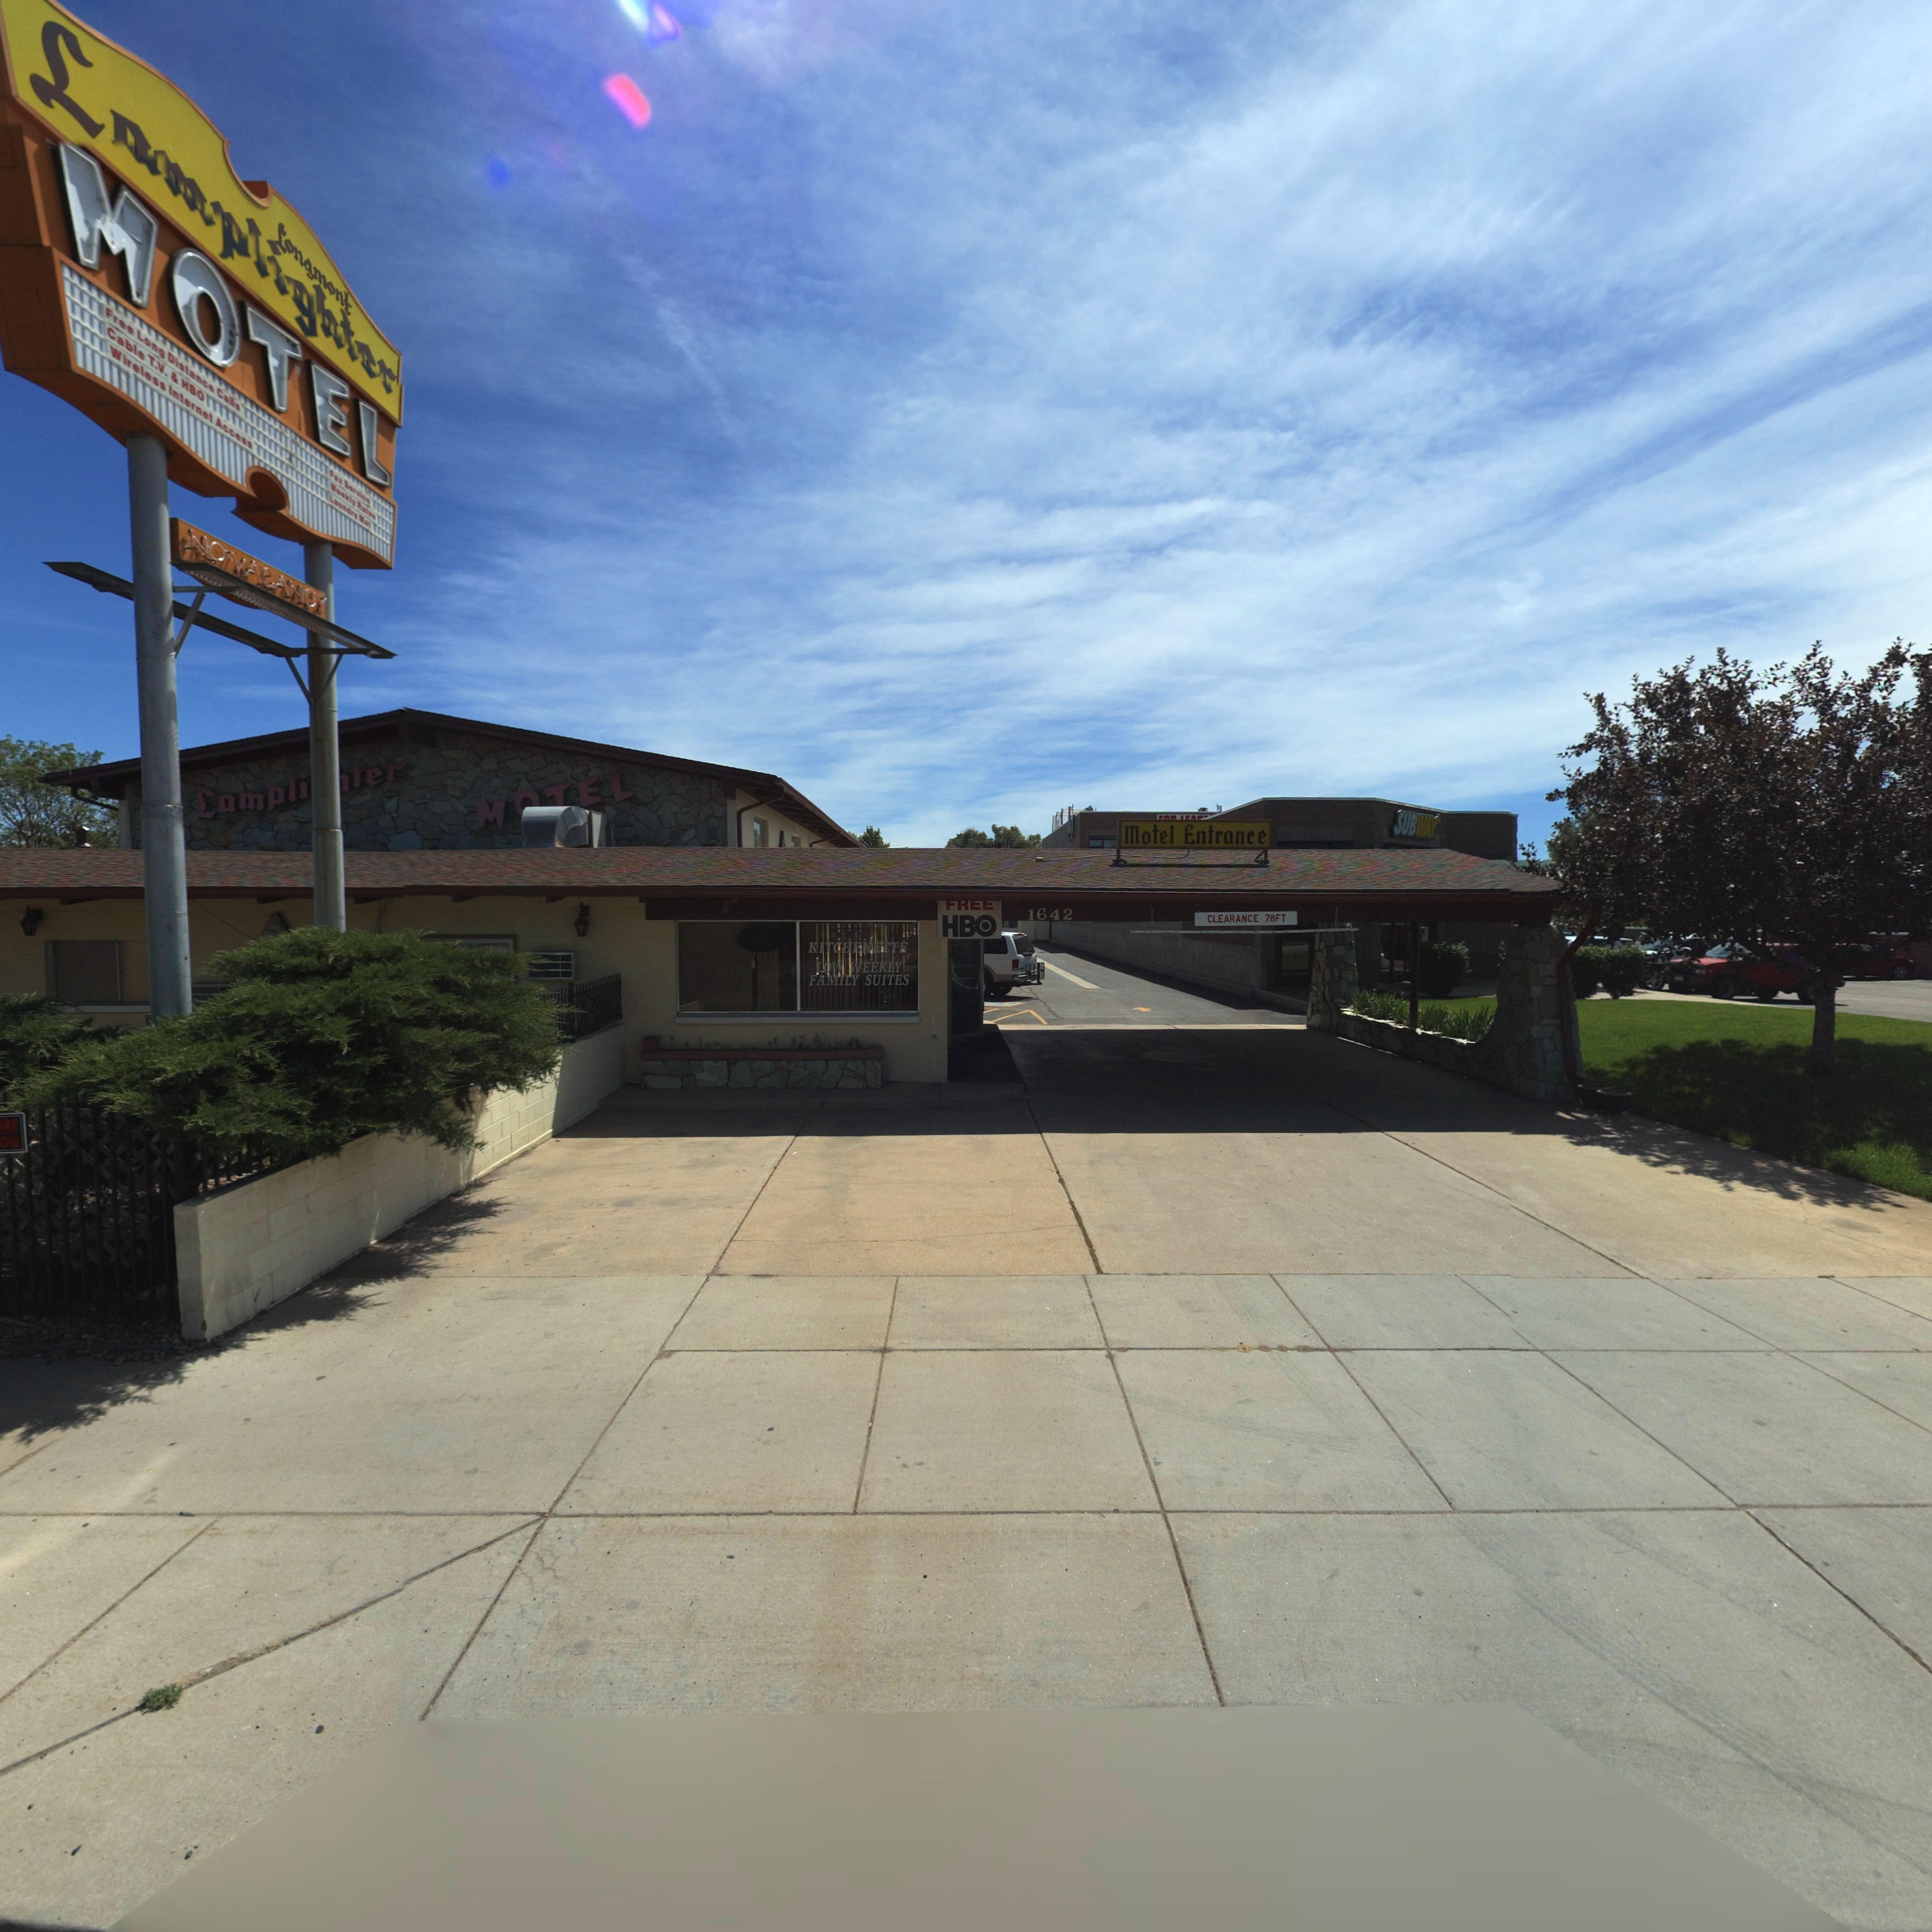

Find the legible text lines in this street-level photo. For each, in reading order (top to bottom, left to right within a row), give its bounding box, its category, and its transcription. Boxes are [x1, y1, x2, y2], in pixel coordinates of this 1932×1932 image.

[28, 17, 398, 395] BusinessName: L**plig*t*r
[56, 138, 394, 491] BusinessName: MOTEL
[195, 762, 404, 820] BusinessName: Lampli**ter
[474, 770, 635, 829] BusinessName: M*TEL
[1393, 810, 1442, 838] BusinessName: SUBWAY
[1028, 907, 1073, 920] StreetNumber: 1642